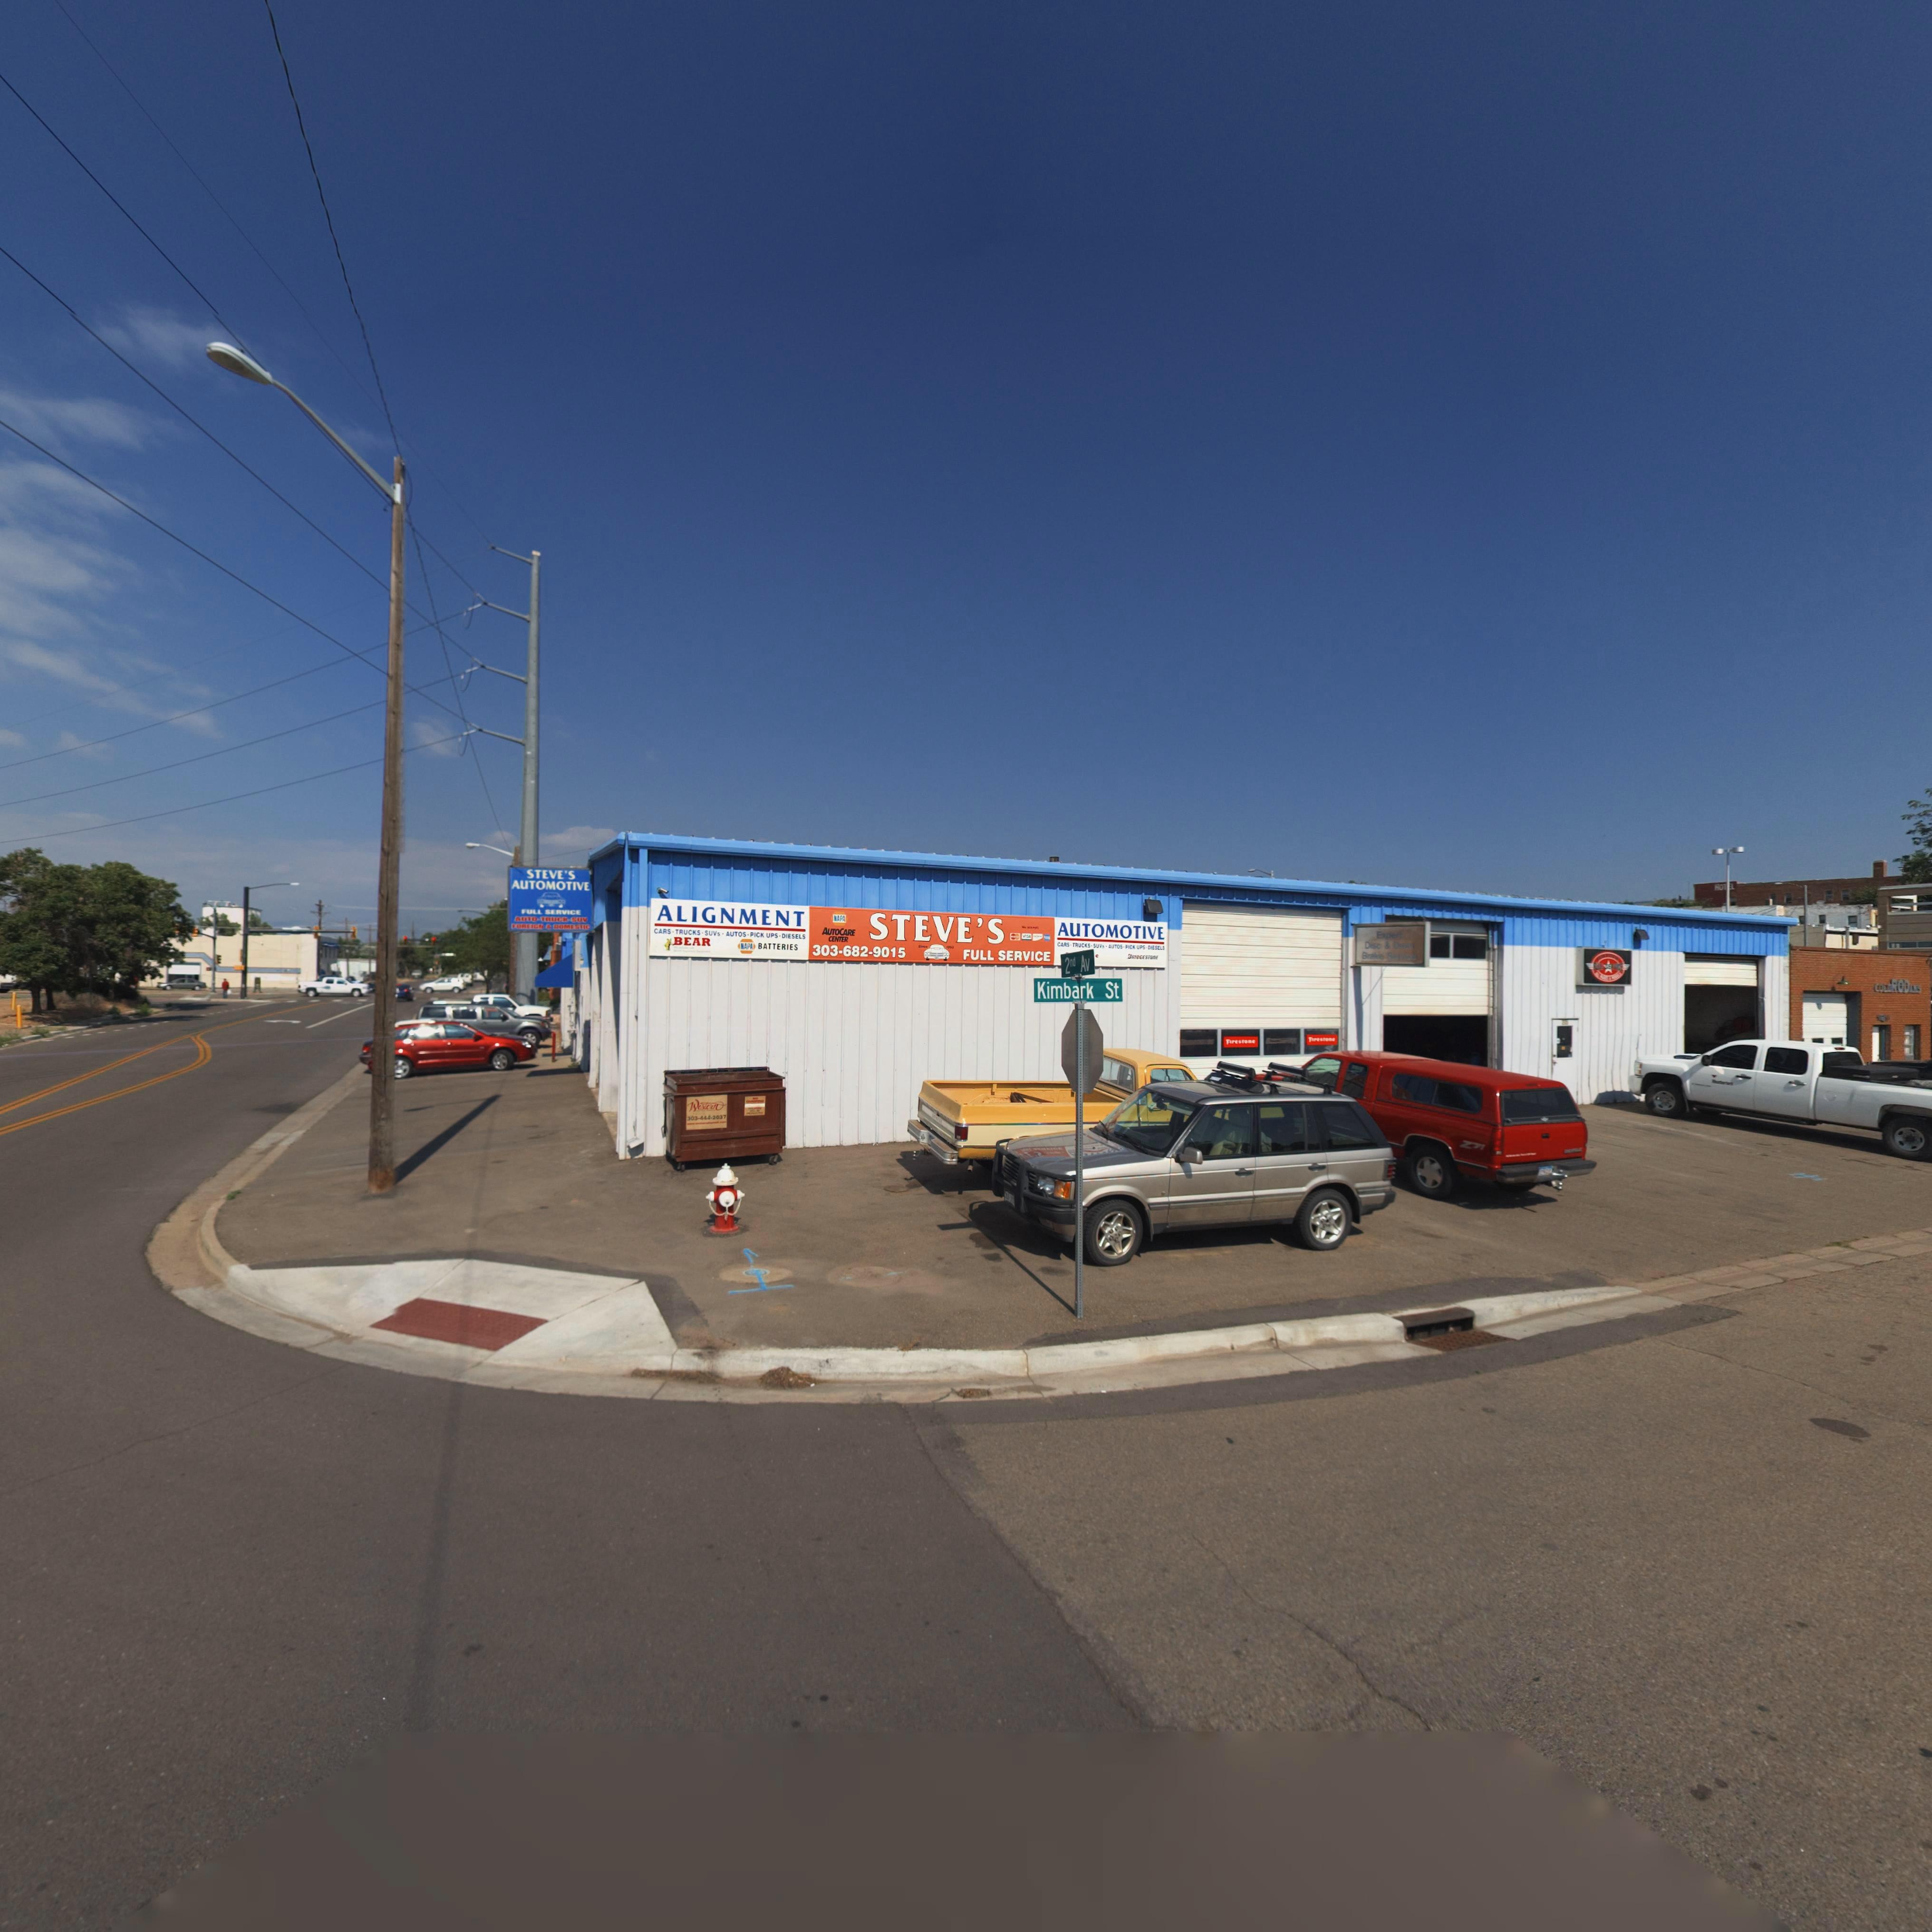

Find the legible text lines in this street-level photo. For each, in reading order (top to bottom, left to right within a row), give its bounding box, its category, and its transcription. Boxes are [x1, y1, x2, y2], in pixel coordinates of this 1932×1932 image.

[526, 869, 576, 880] BusinessName: STEVE'S
[511, 879, 589, 891] BusinessName: AUTOMOTIVE
[868, 912, 1005, 945] BusinessName: STEVE'S
[1057, 922, 1165, 940] BusinessName: AUTOMOTIVE
[1064, 954, 1090, 975] StreetName: 2nd Av
[1037, 981, 1120, 999] StreetName: Kimbark St
[1874, 978, 1922, 994] BusinessName: COLORODANS
[1562, 1019, 1568, 1025] StreetNumber: 205